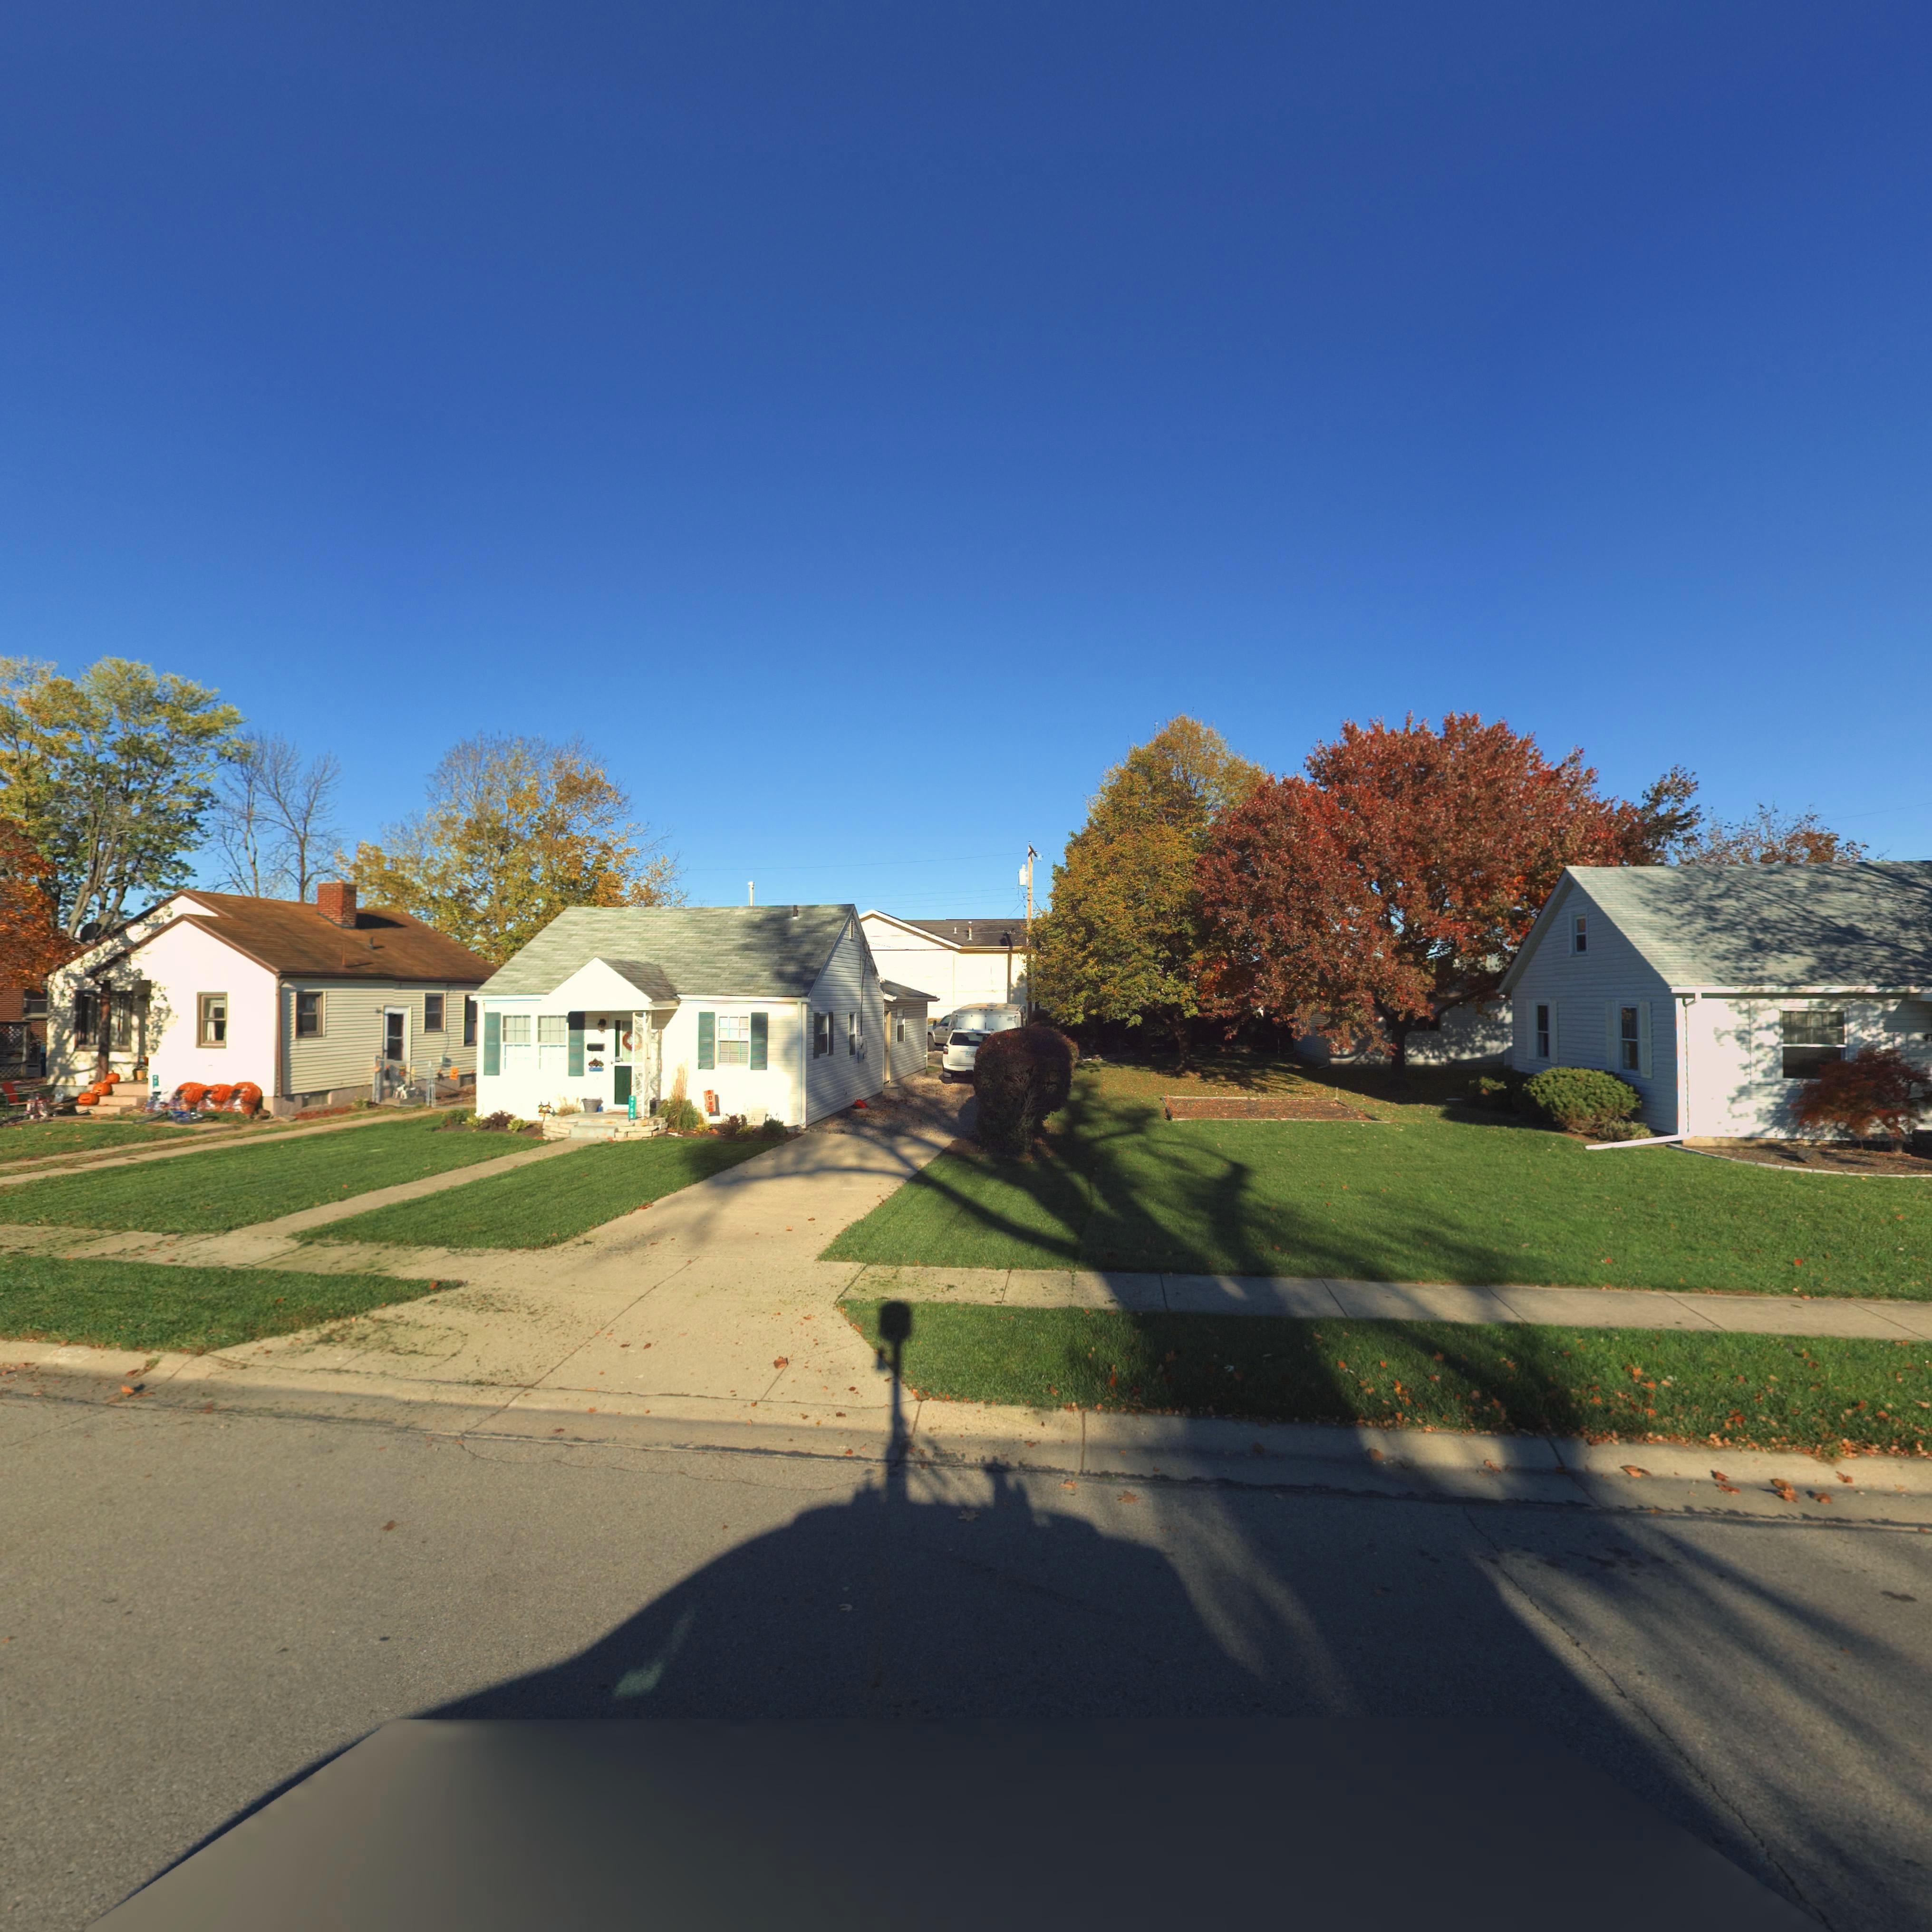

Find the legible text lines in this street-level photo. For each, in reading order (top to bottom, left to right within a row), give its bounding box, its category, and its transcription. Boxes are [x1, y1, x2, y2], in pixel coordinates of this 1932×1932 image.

[629, 1095, 635, 1120] StreetNumber: 470*